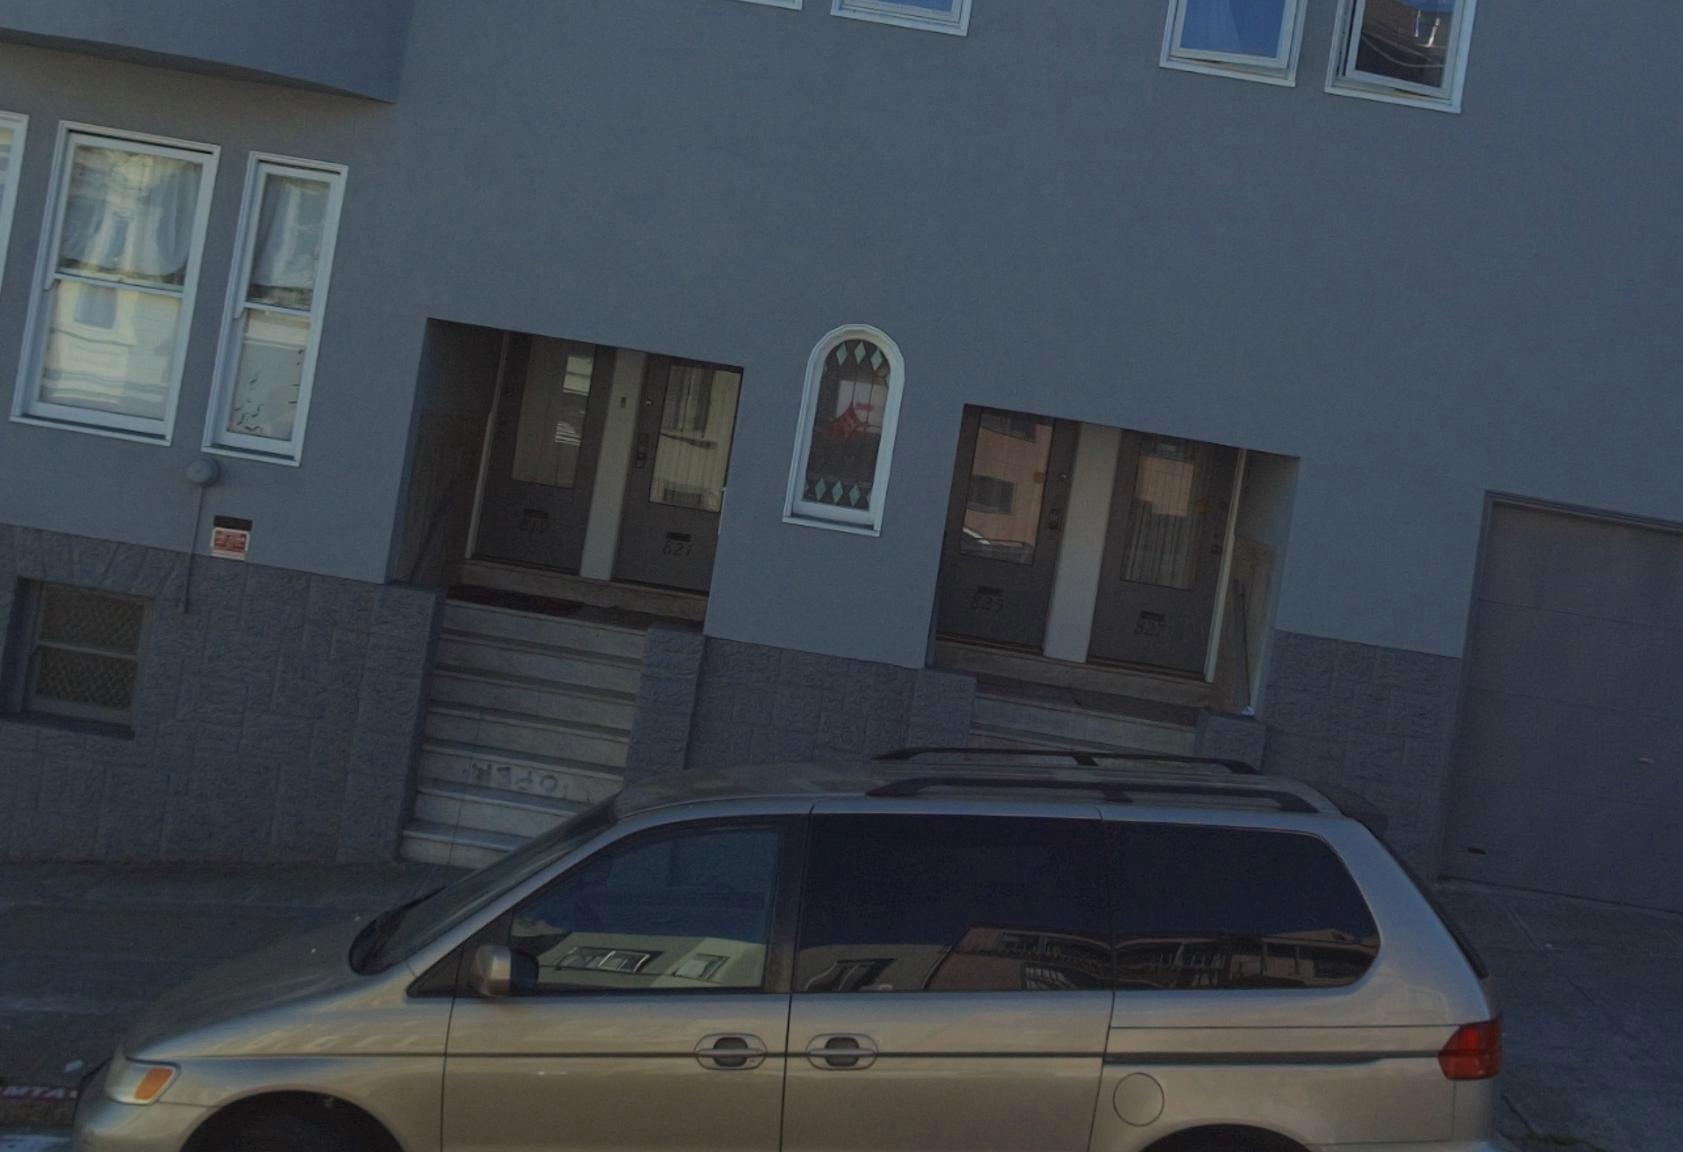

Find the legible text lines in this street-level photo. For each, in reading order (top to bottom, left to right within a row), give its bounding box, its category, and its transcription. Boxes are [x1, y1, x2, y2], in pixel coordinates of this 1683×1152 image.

[517, 516, 552, 537] StreetNumber: 819
[661, 539, 695, 558] StreetNumber: 821
[969, 592, 1006, 613] StreetNumber: 825
[1132, 618, 1167, 639] StreetNumber: 827